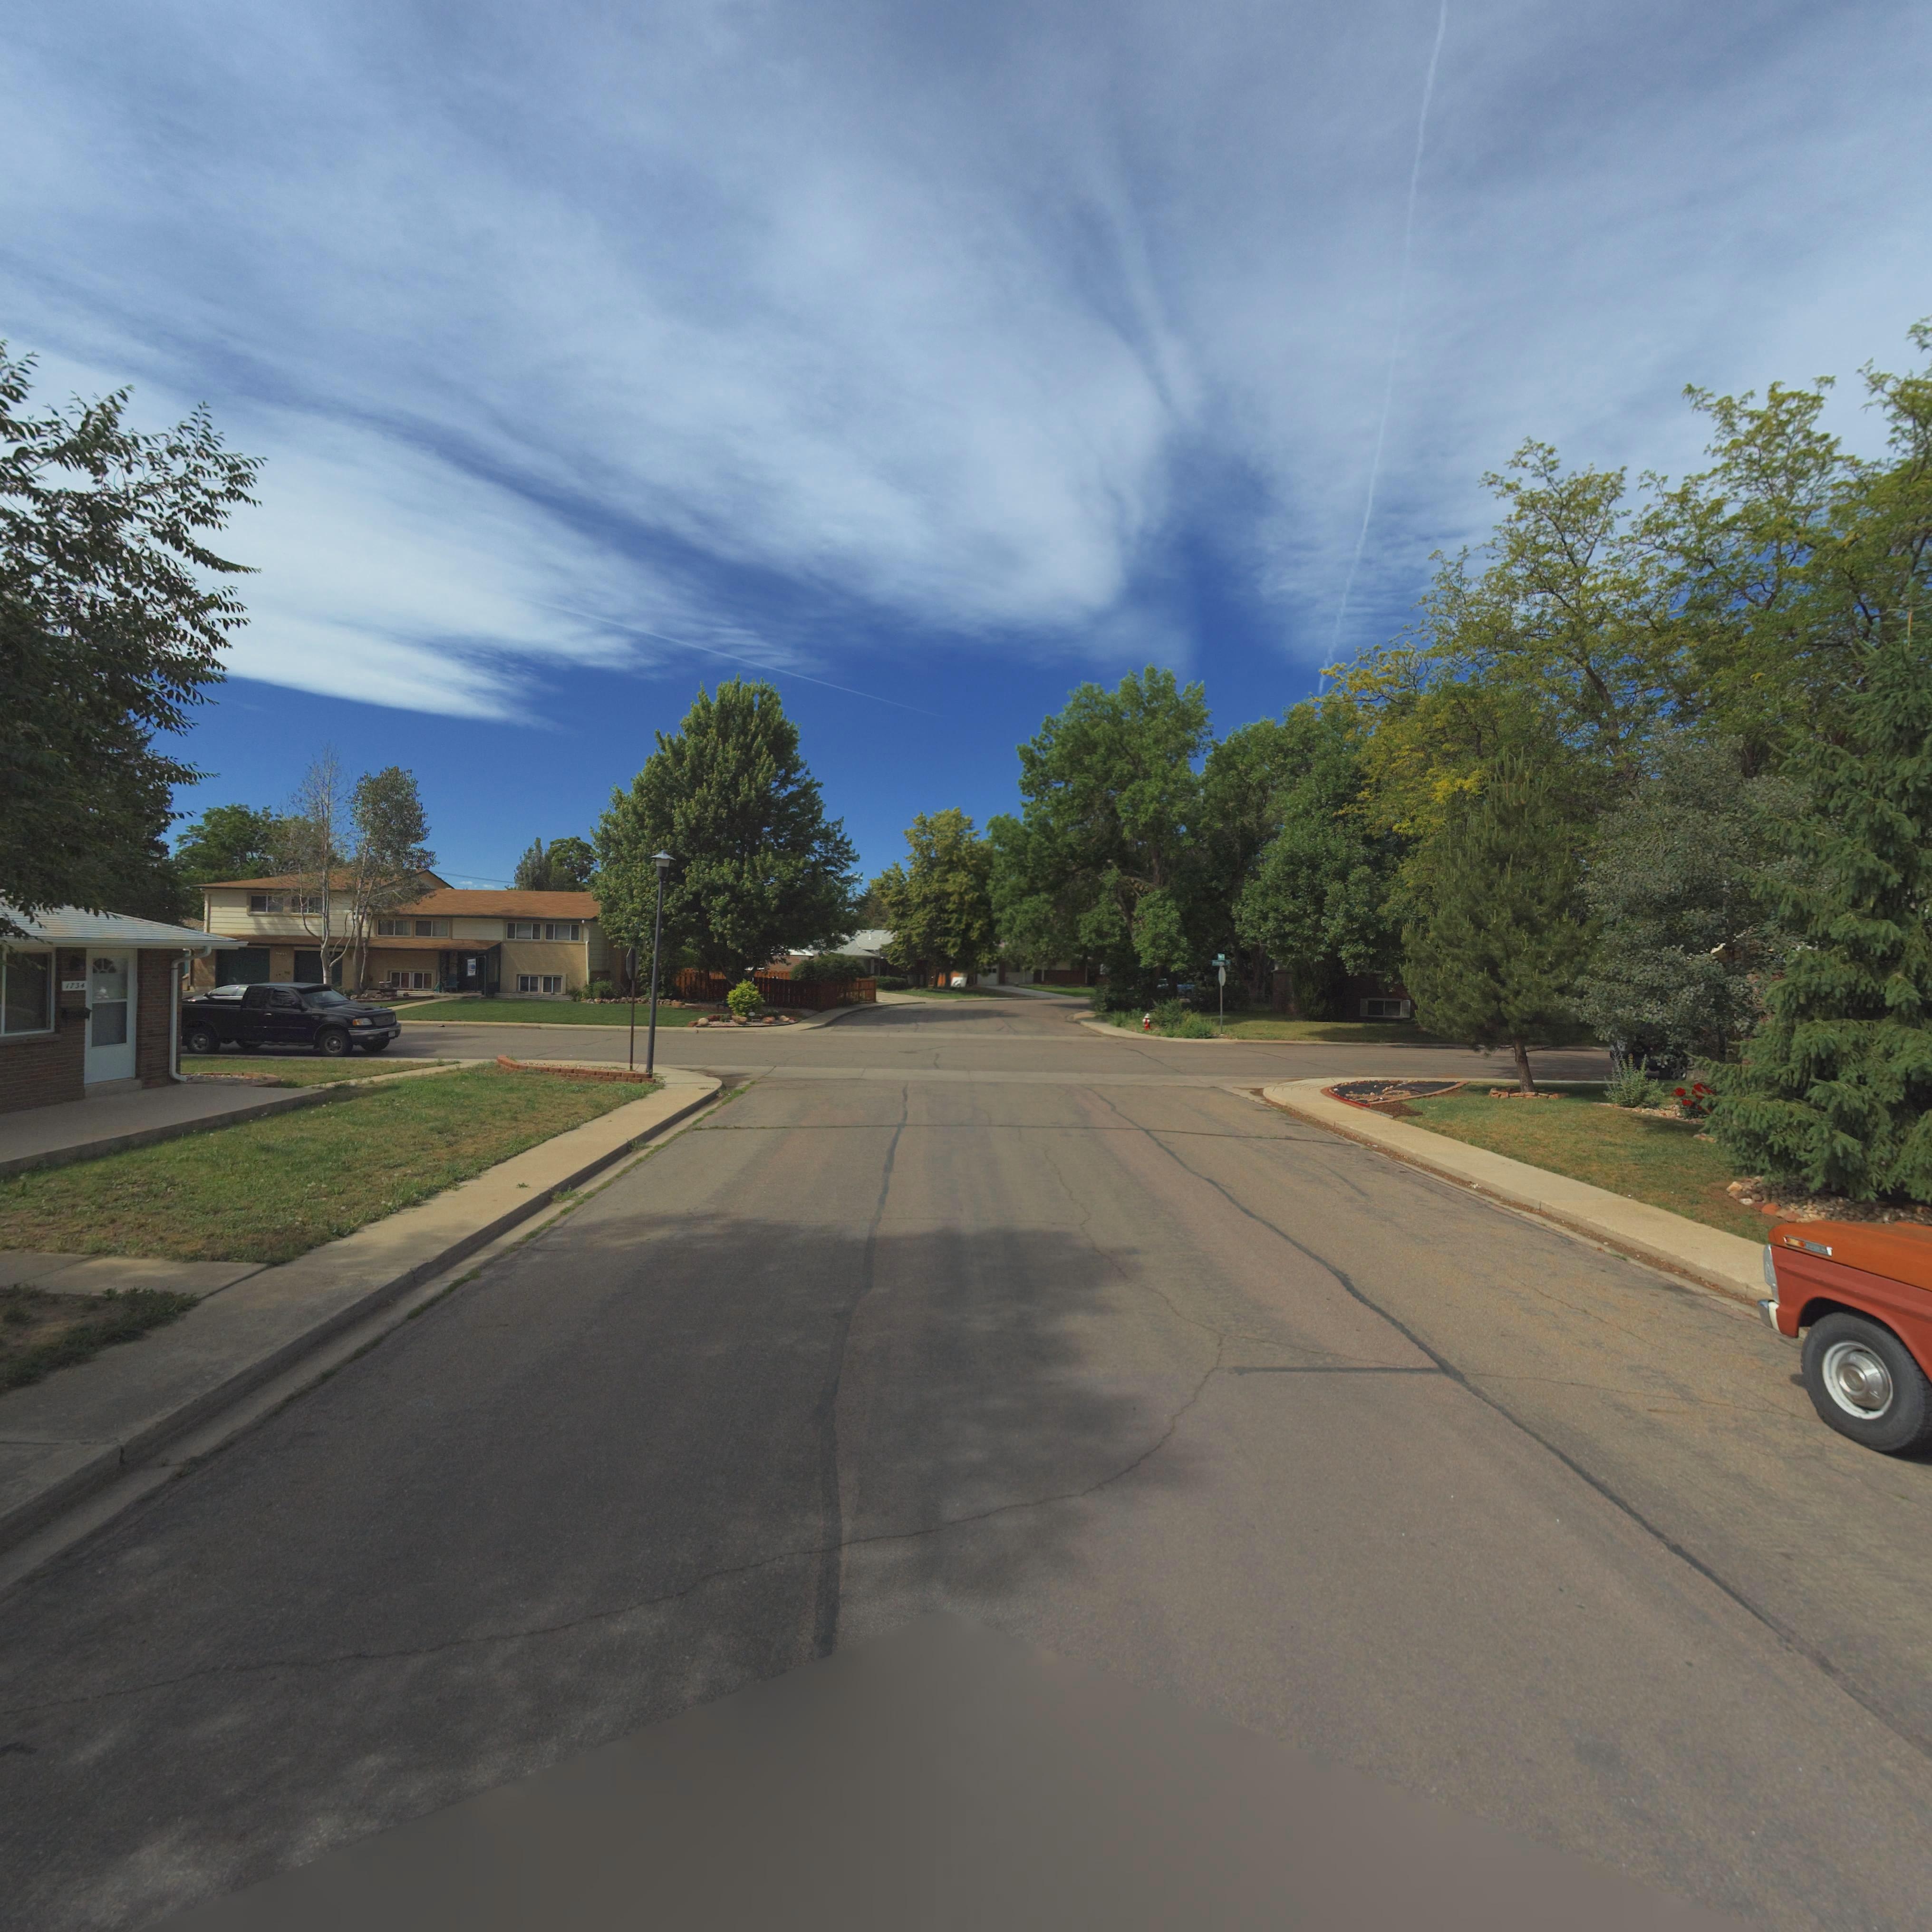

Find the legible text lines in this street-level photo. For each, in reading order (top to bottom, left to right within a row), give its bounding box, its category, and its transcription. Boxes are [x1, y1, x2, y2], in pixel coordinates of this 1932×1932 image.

[276, 951, 286, 956] StreetNumber: 1725
[1212, 960, 1230, 965] StreetName: P******* **
[65, 982, 85, 989] StreetNumber: 1734